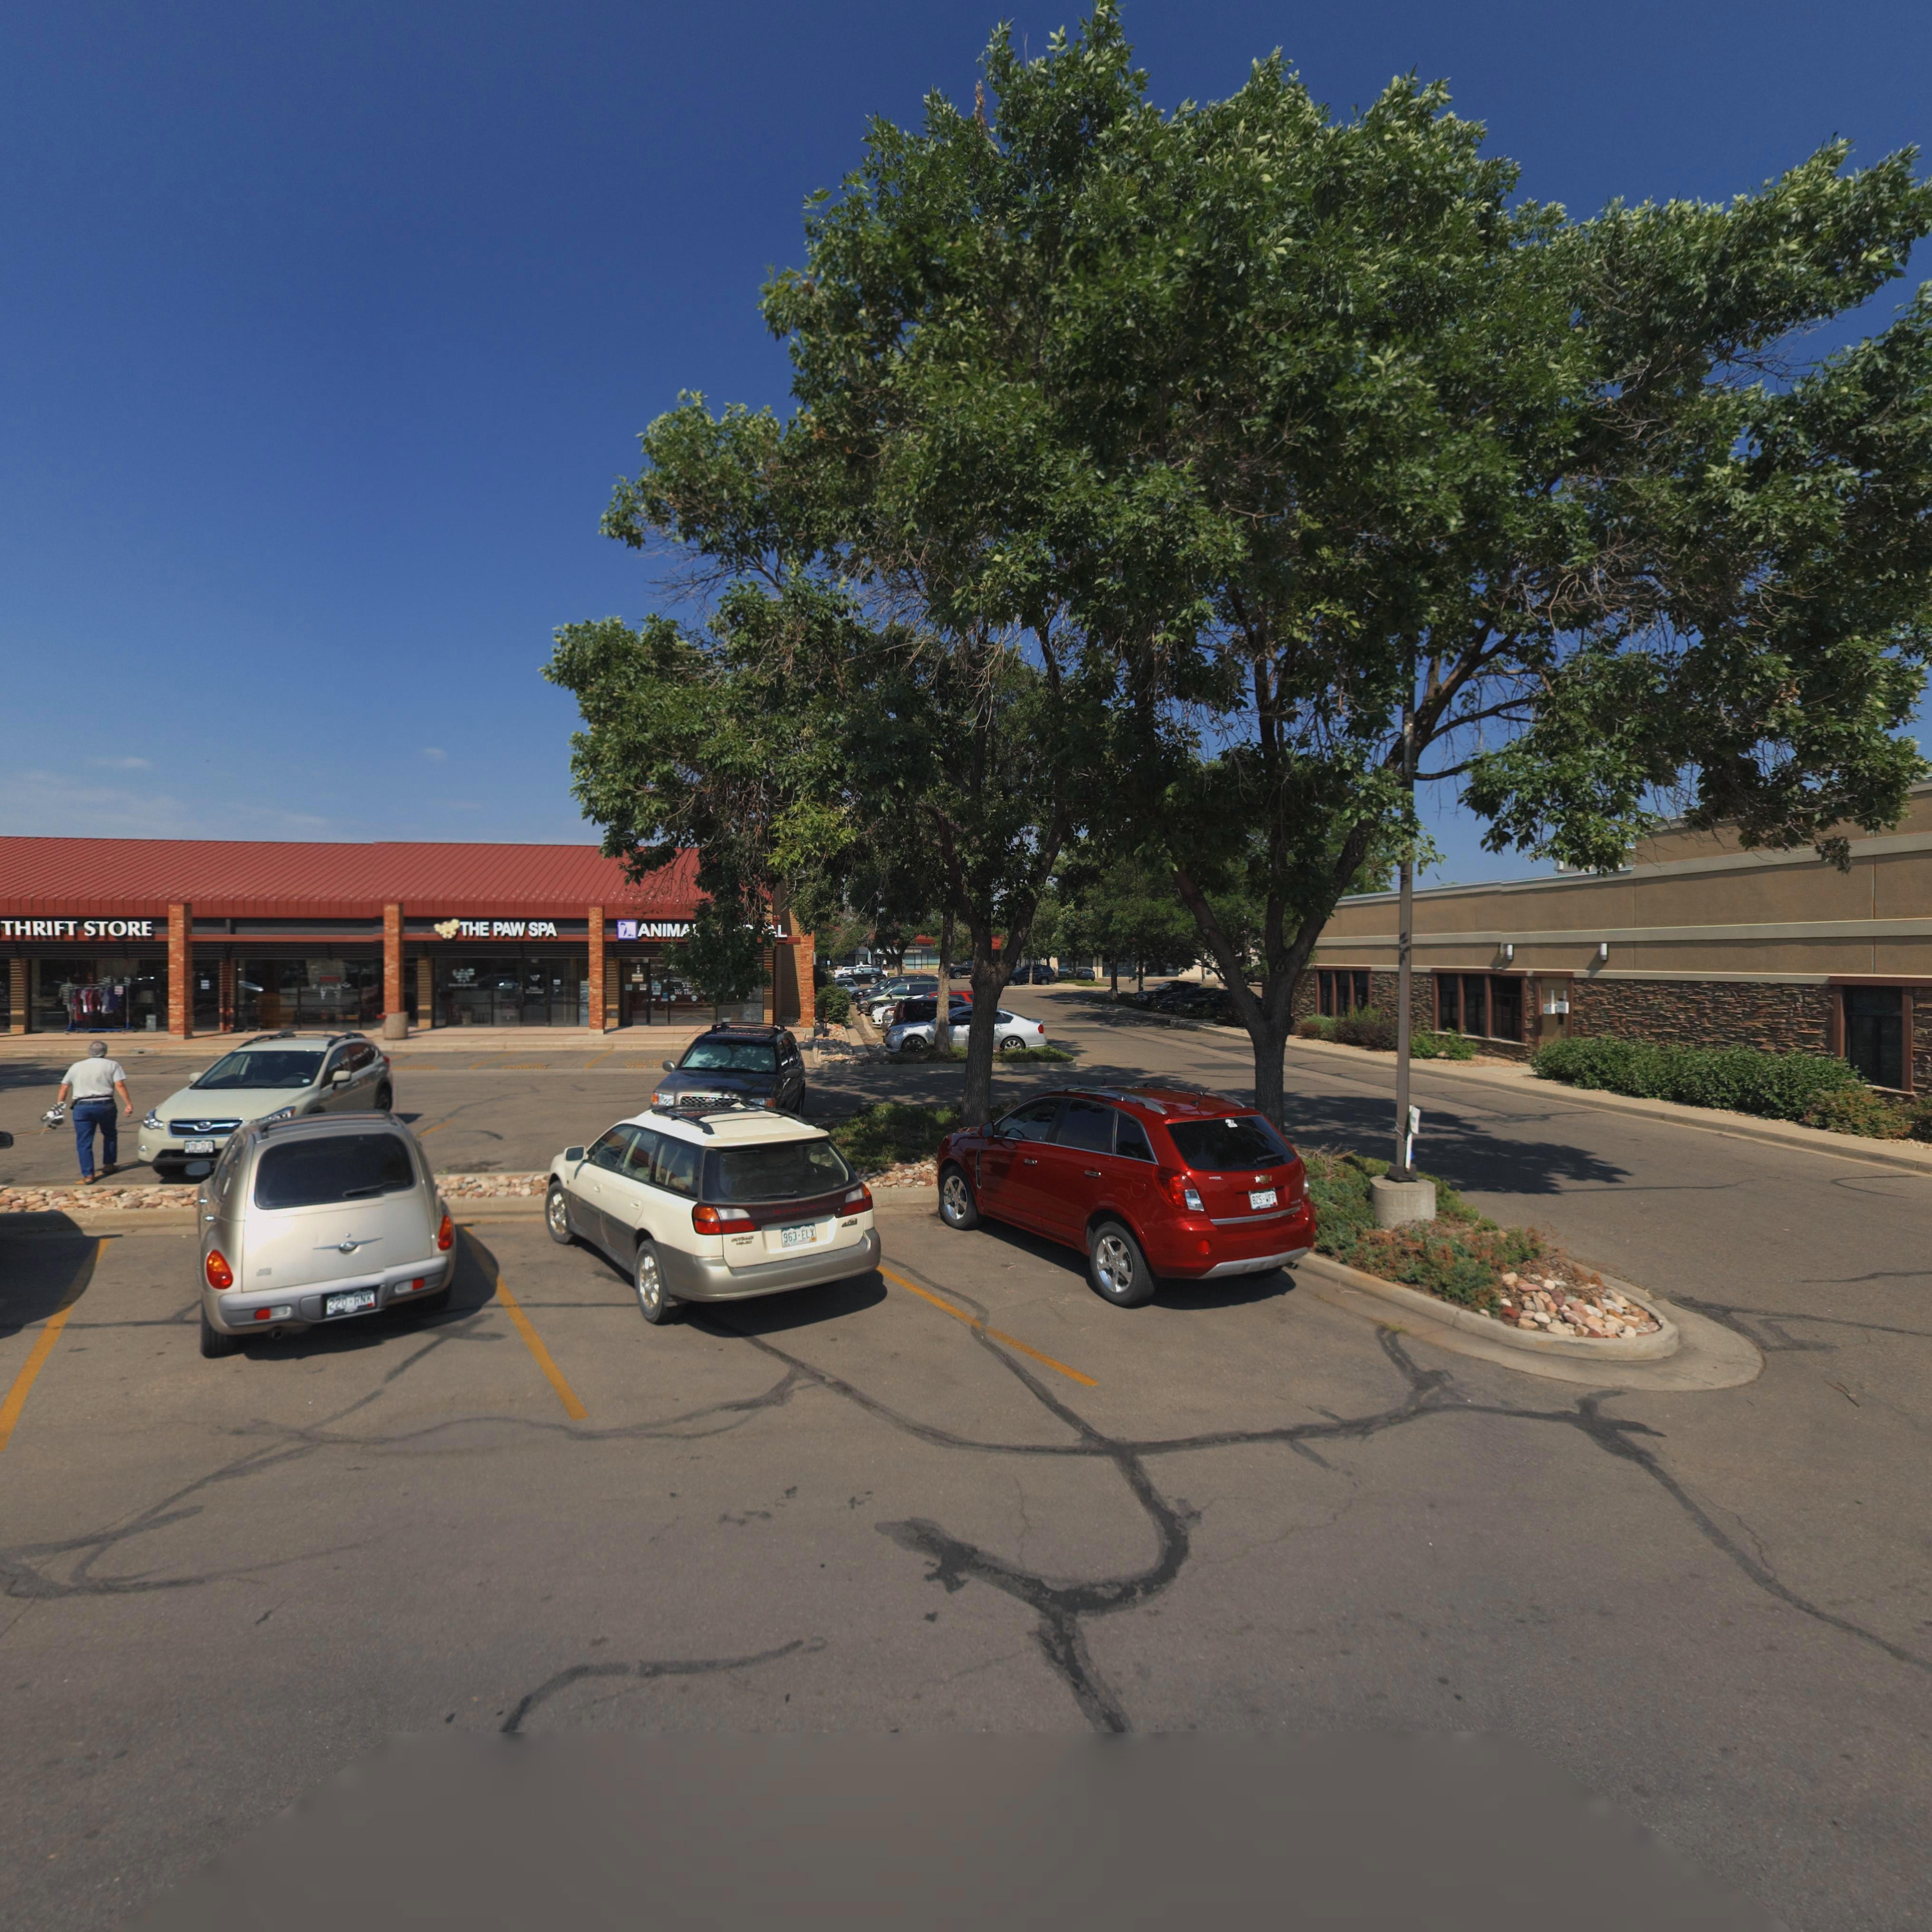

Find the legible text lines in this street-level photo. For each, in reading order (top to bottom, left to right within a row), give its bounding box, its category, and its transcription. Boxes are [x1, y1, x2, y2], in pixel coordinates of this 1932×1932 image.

[458, 921, 558, 937] BusinessName: THE PAW SPA
[630, 957, 636, 963] StreetNumber: 22